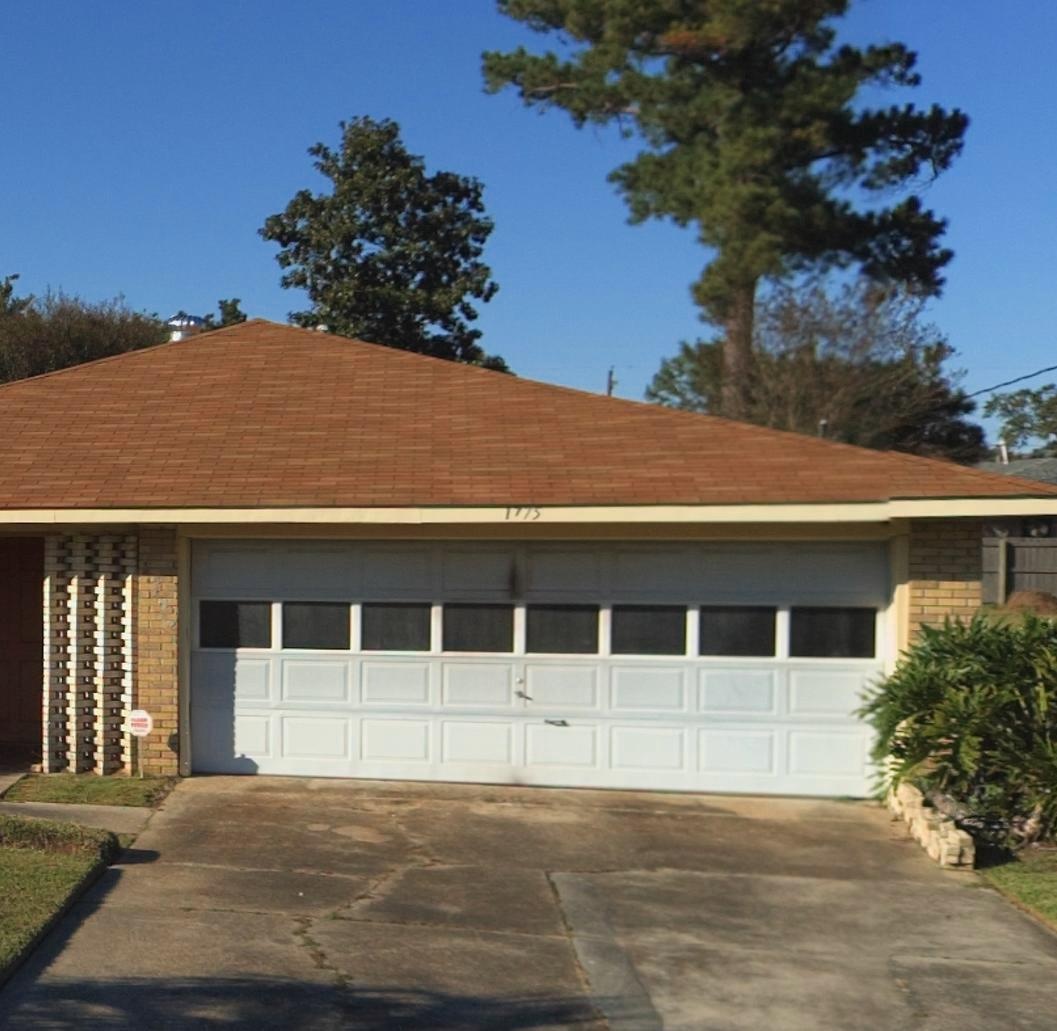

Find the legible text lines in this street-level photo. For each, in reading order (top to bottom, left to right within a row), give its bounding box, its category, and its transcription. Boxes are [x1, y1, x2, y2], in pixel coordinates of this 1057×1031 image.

[503, 505, 542, 521] StreetNumber: 1775